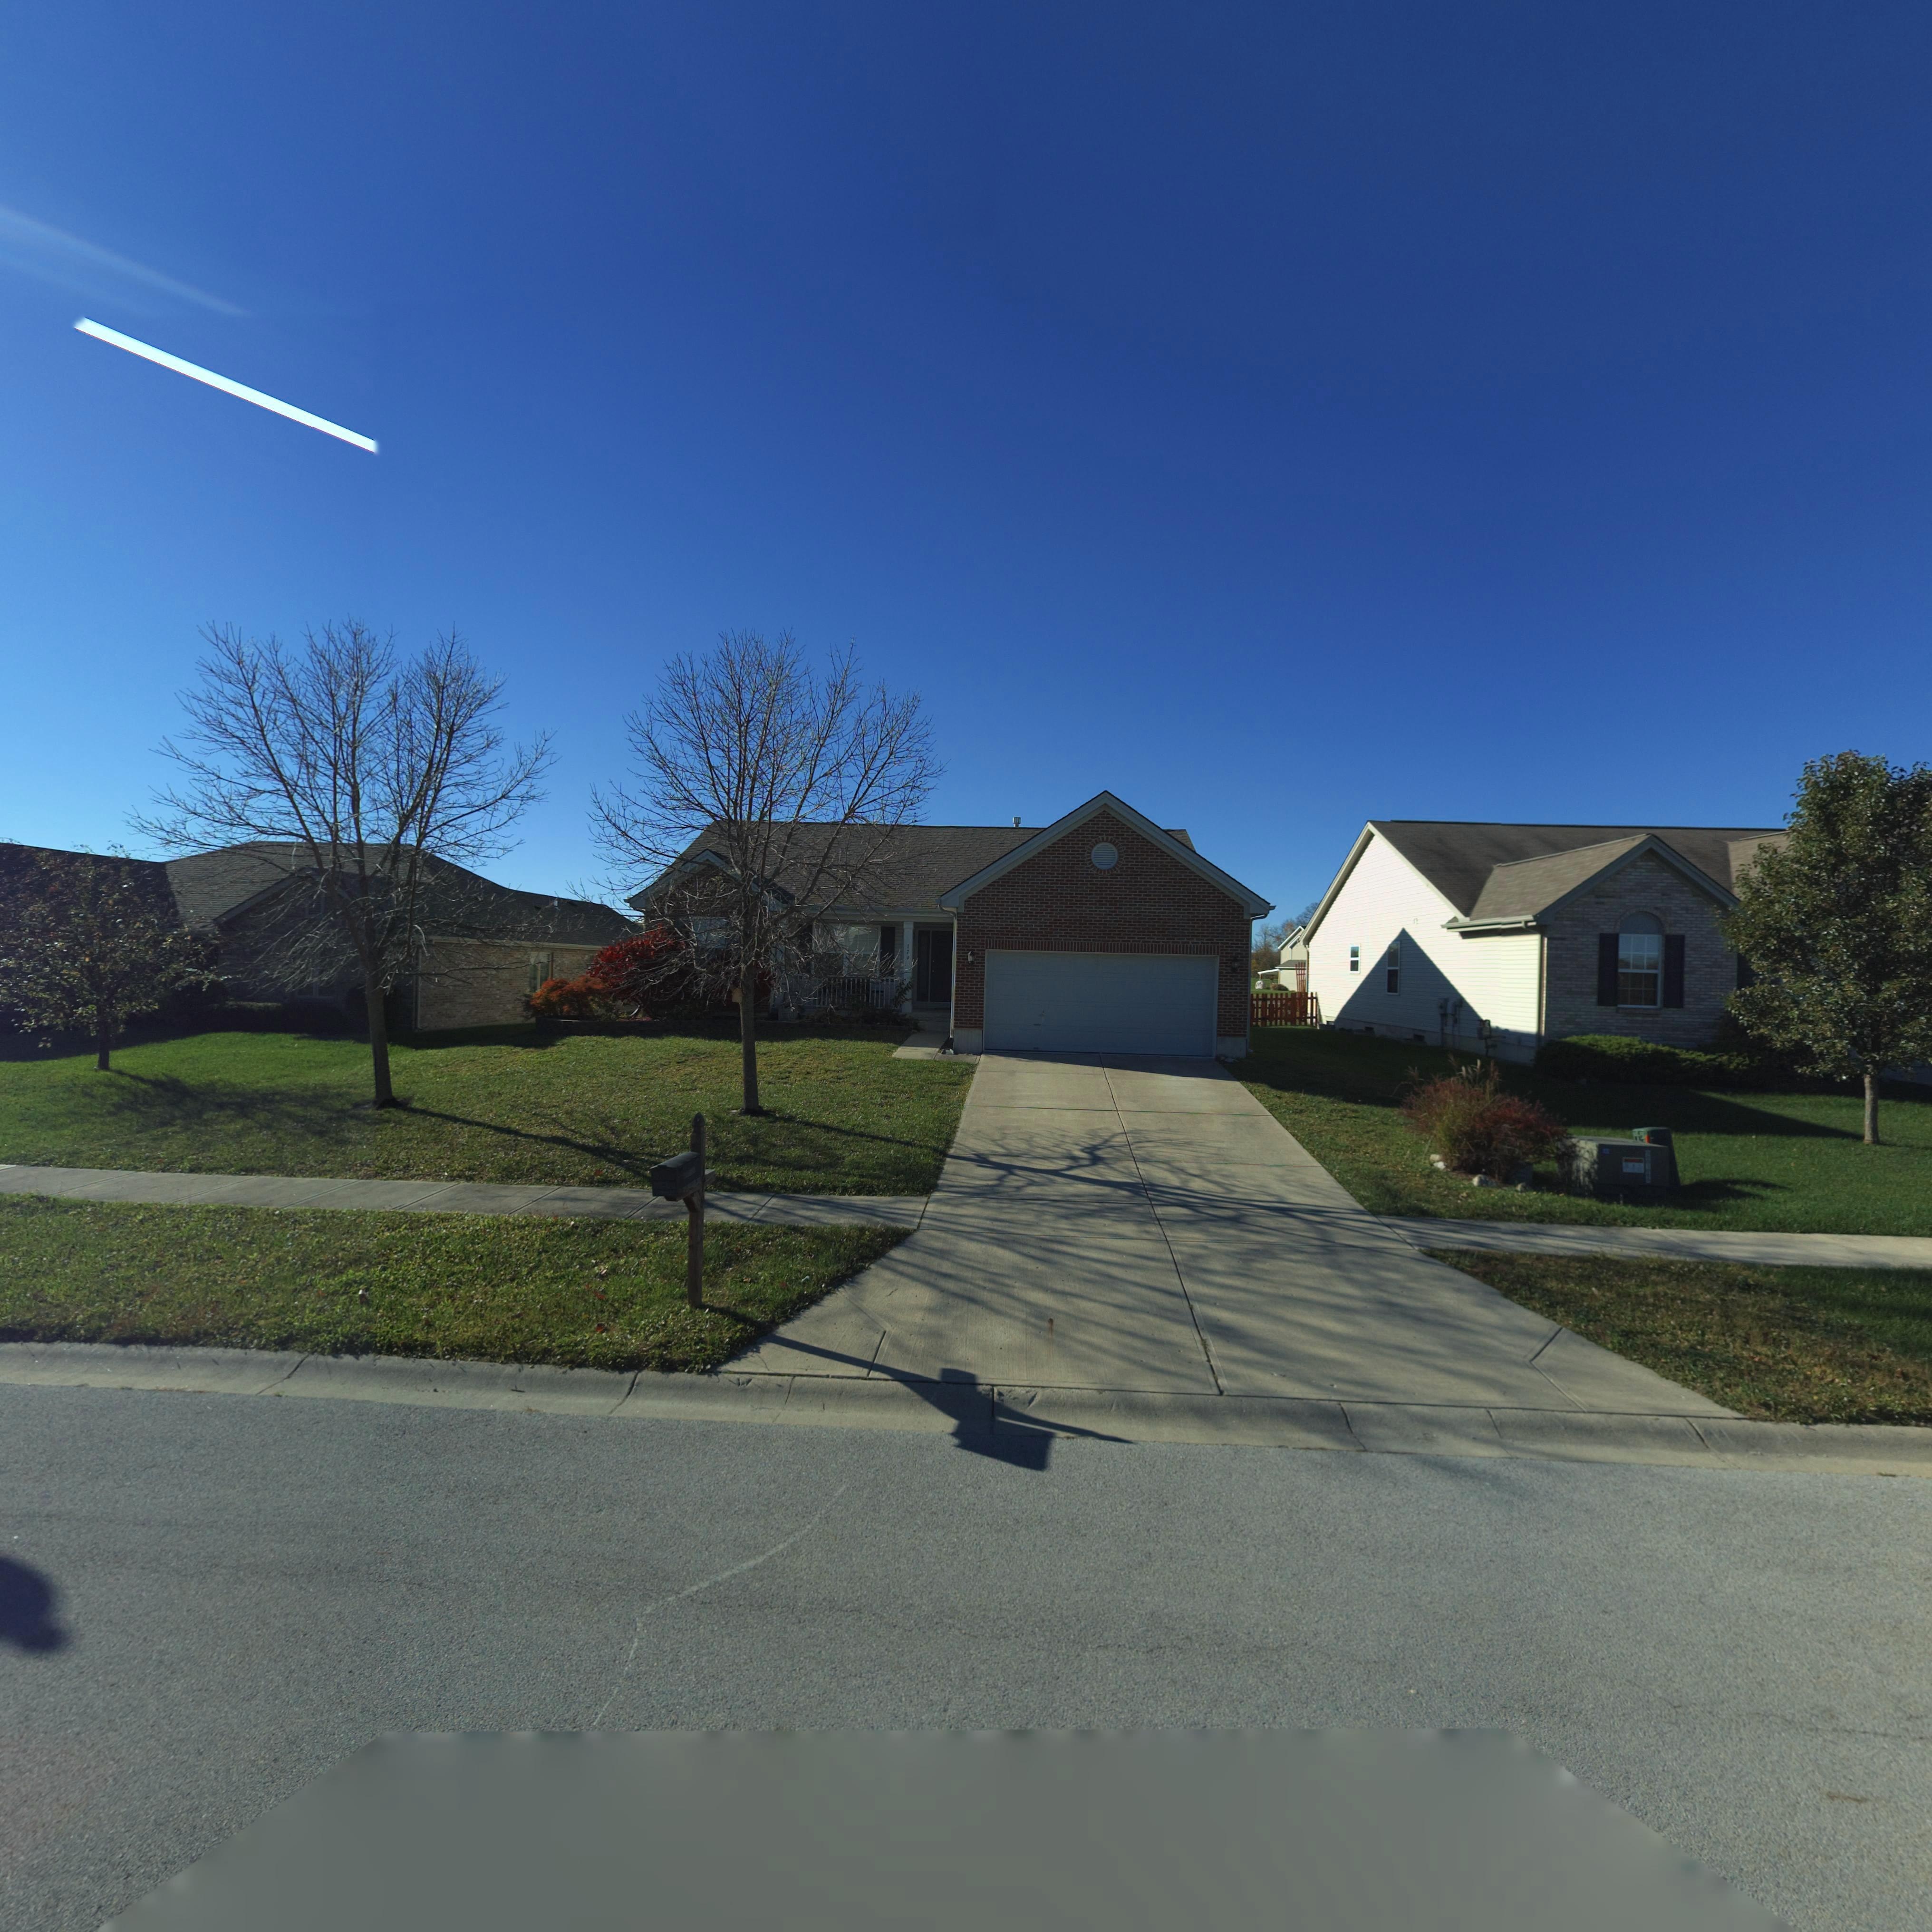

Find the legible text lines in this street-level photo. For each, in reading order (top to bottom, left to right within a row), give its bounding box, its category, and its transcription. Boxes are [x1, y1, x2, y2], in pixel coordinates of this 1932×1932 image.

[906, 943, 909, 961] StreetNumber: 179